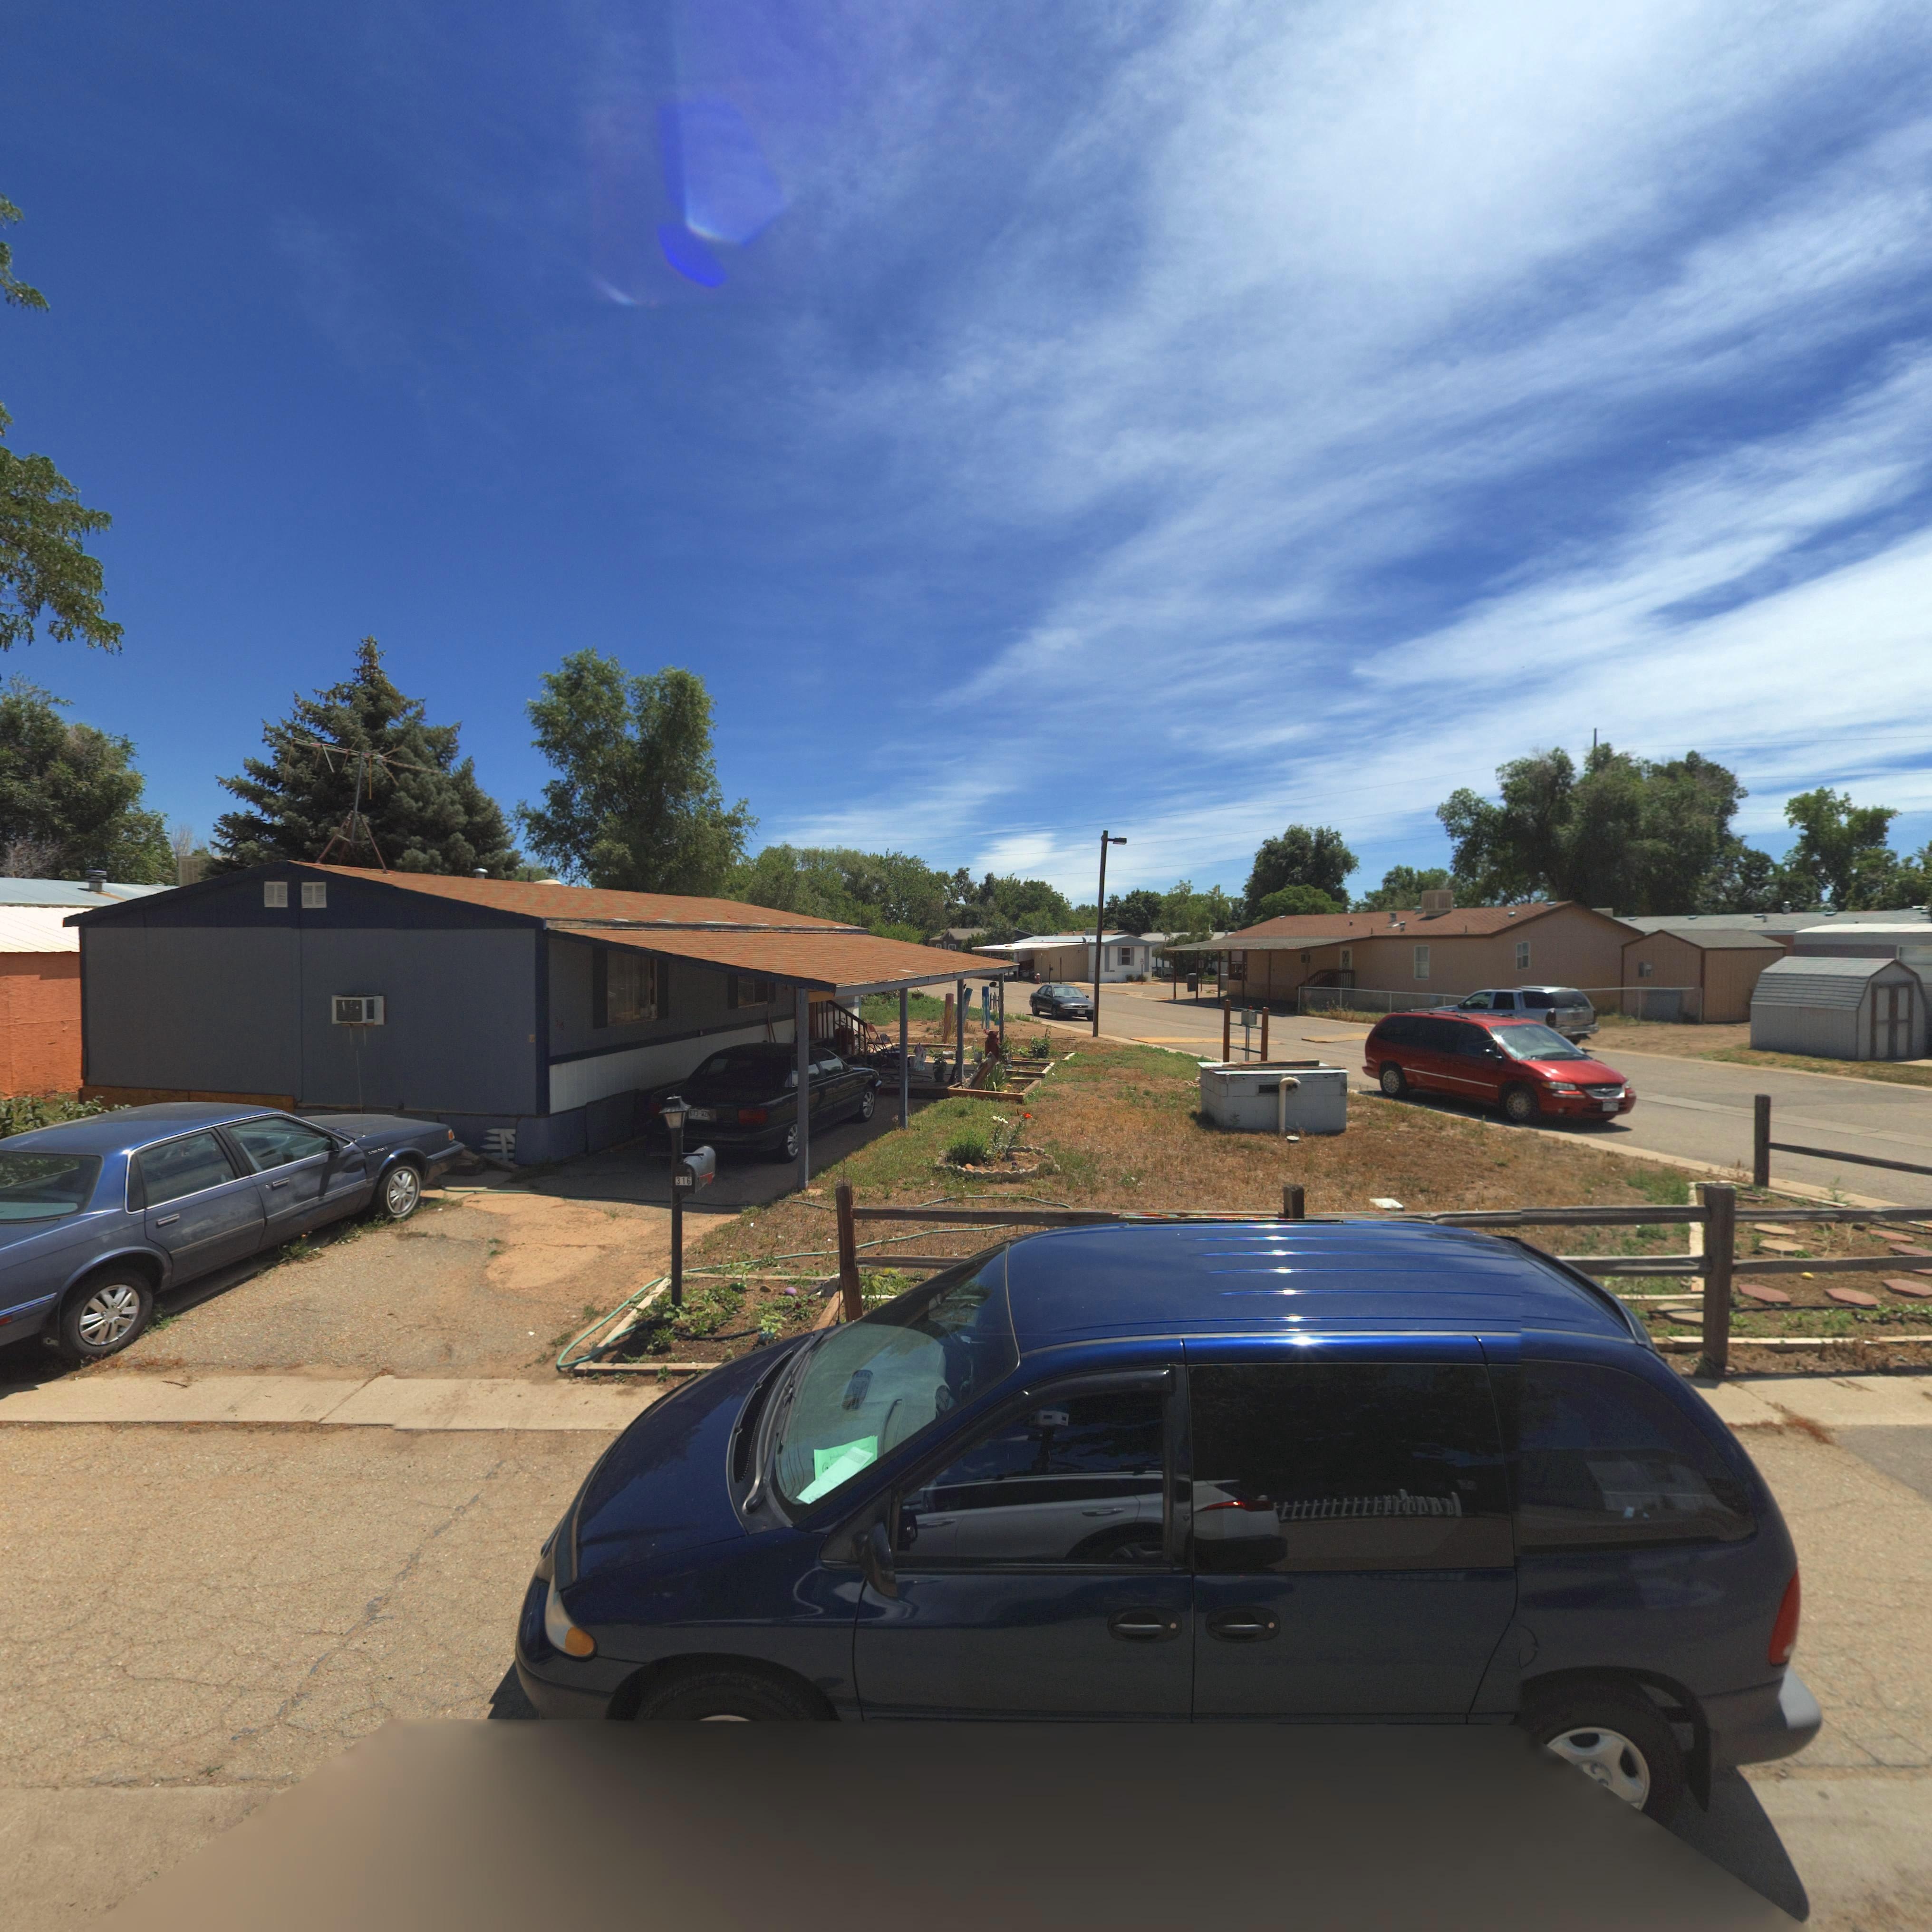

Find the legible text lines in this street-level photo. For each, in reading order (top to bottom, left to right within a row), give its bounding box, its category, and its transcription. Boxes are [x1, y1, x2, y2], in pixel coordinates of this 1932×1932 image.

[554, 1016, 564, 1031] StreetNumber: 316
[676, 1177, 691, 1185] StreetNumber: 316